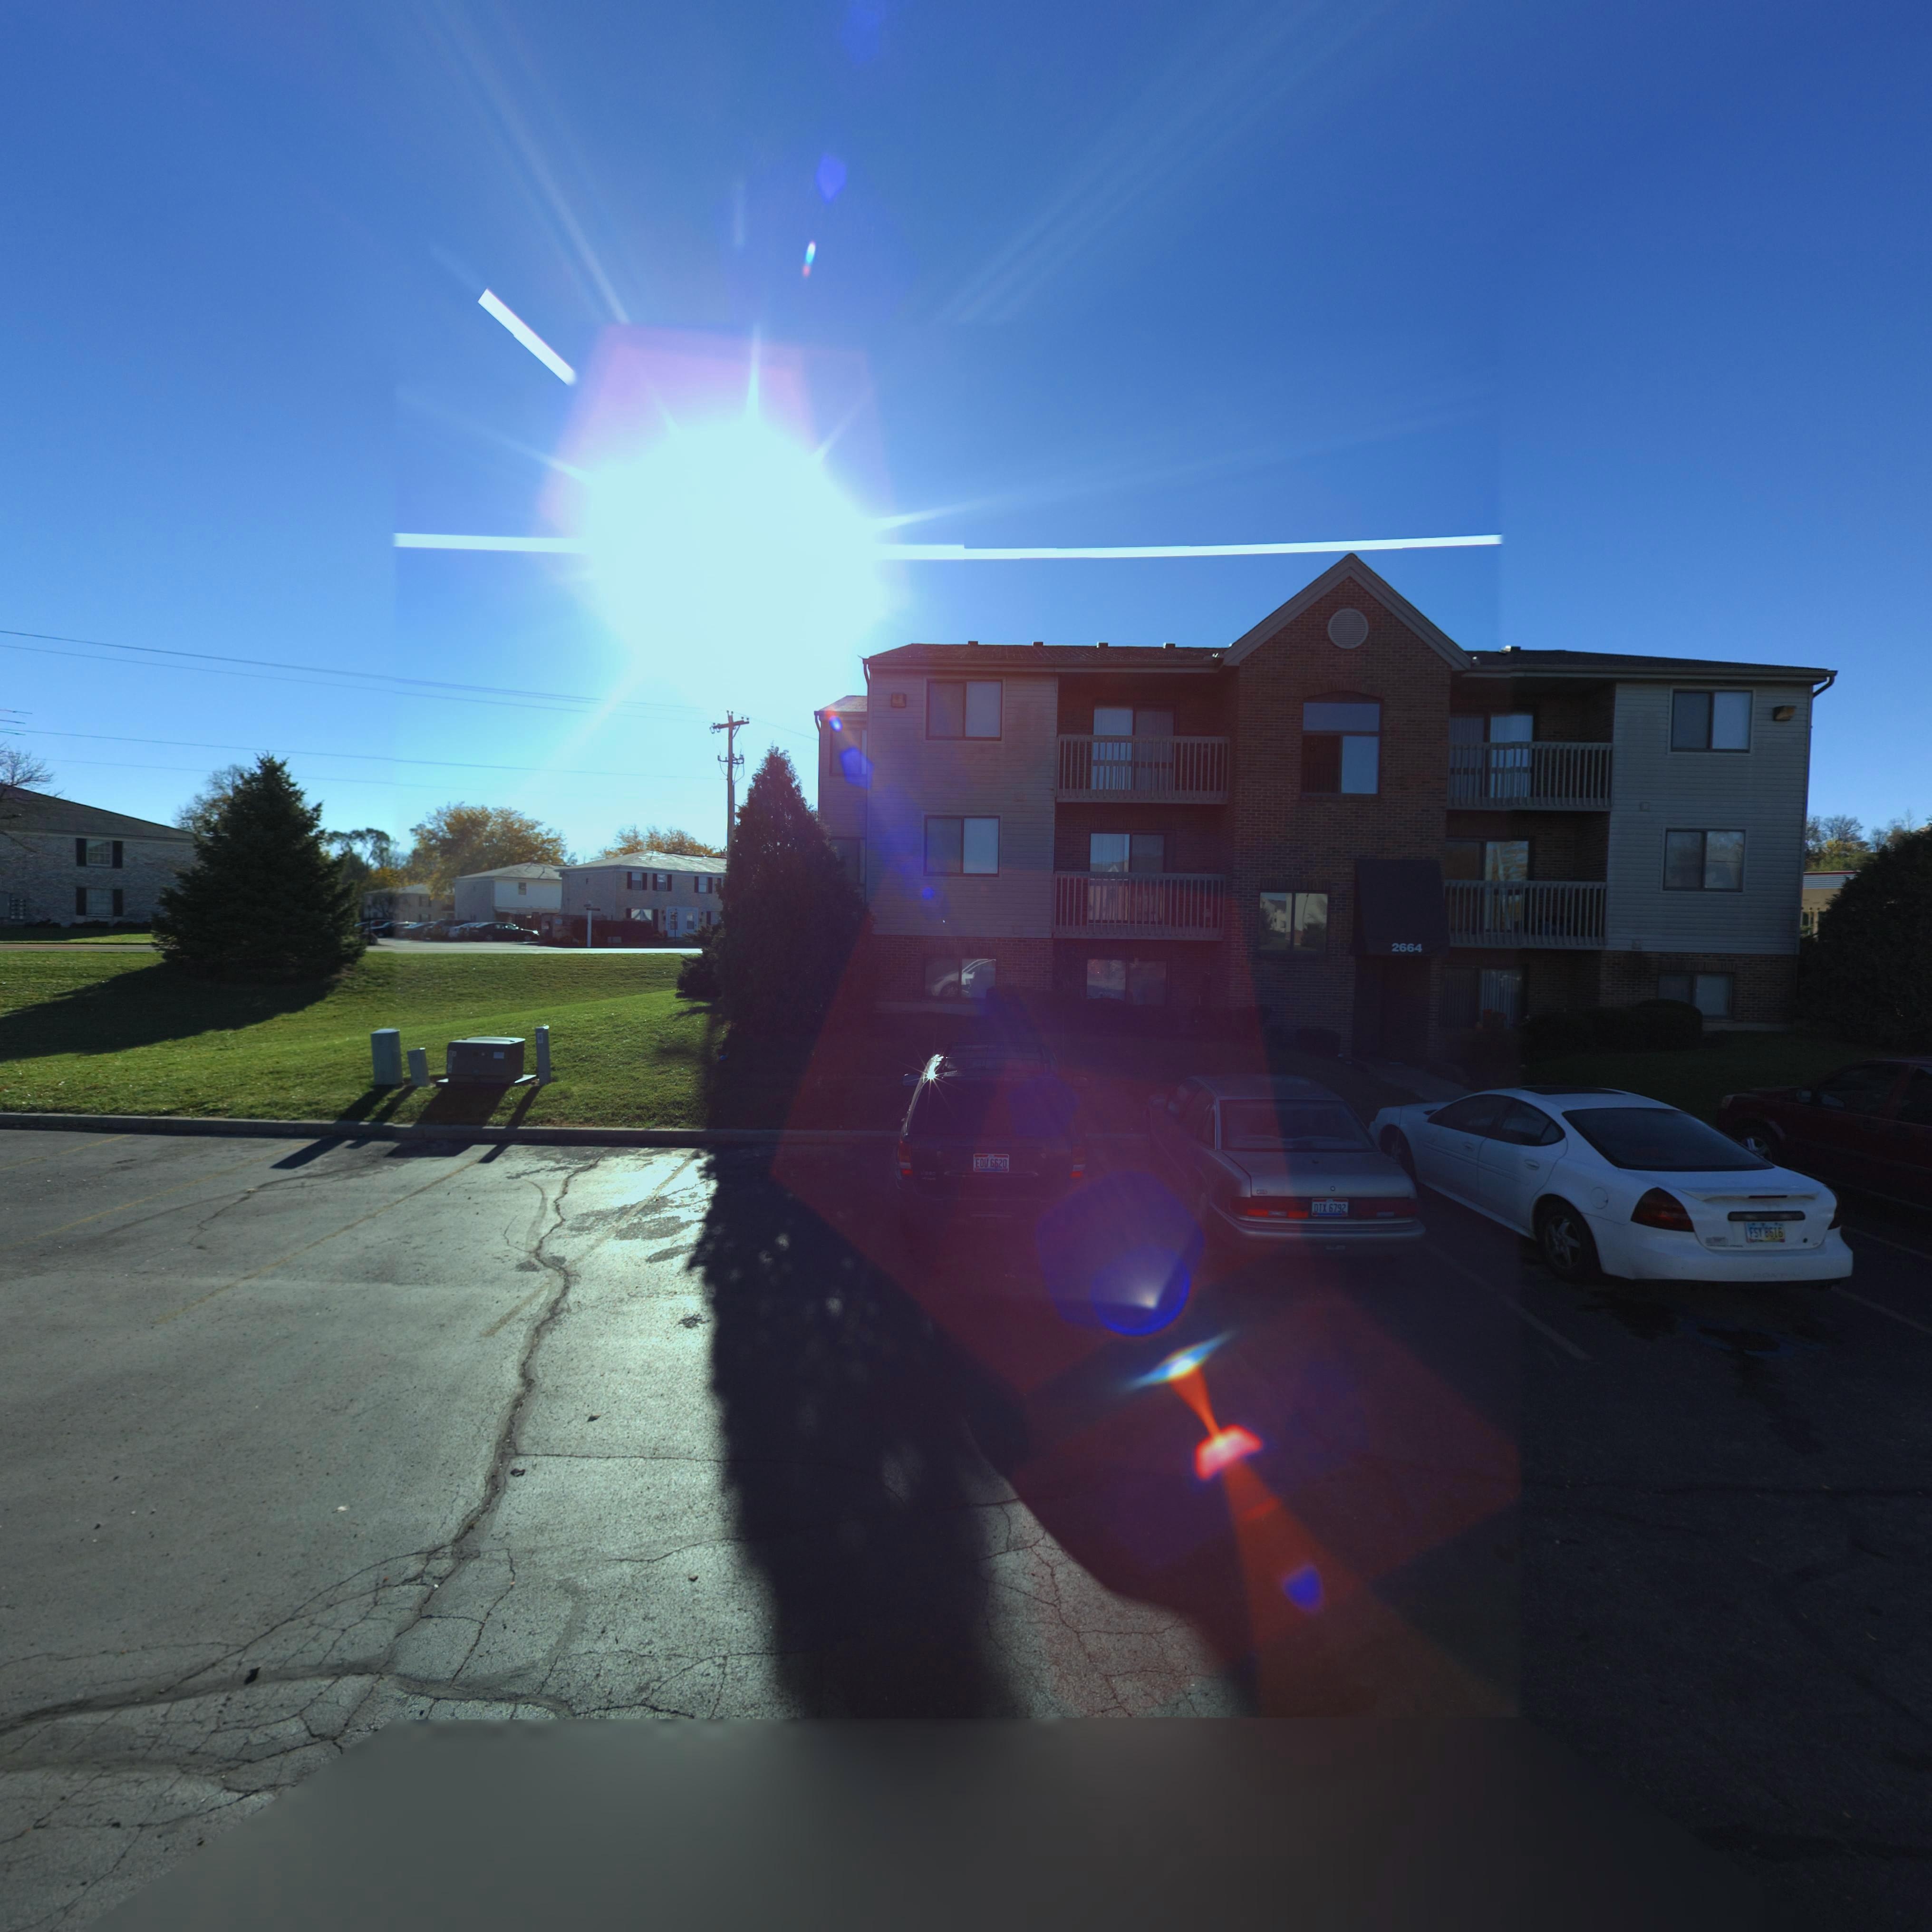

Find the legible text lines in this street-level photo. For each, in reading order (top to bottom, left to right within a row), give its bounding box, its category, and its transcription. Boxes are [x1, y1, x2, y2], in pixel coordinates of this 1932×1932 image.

[1391, 942, 1422, 953] StreetNumber: 2664